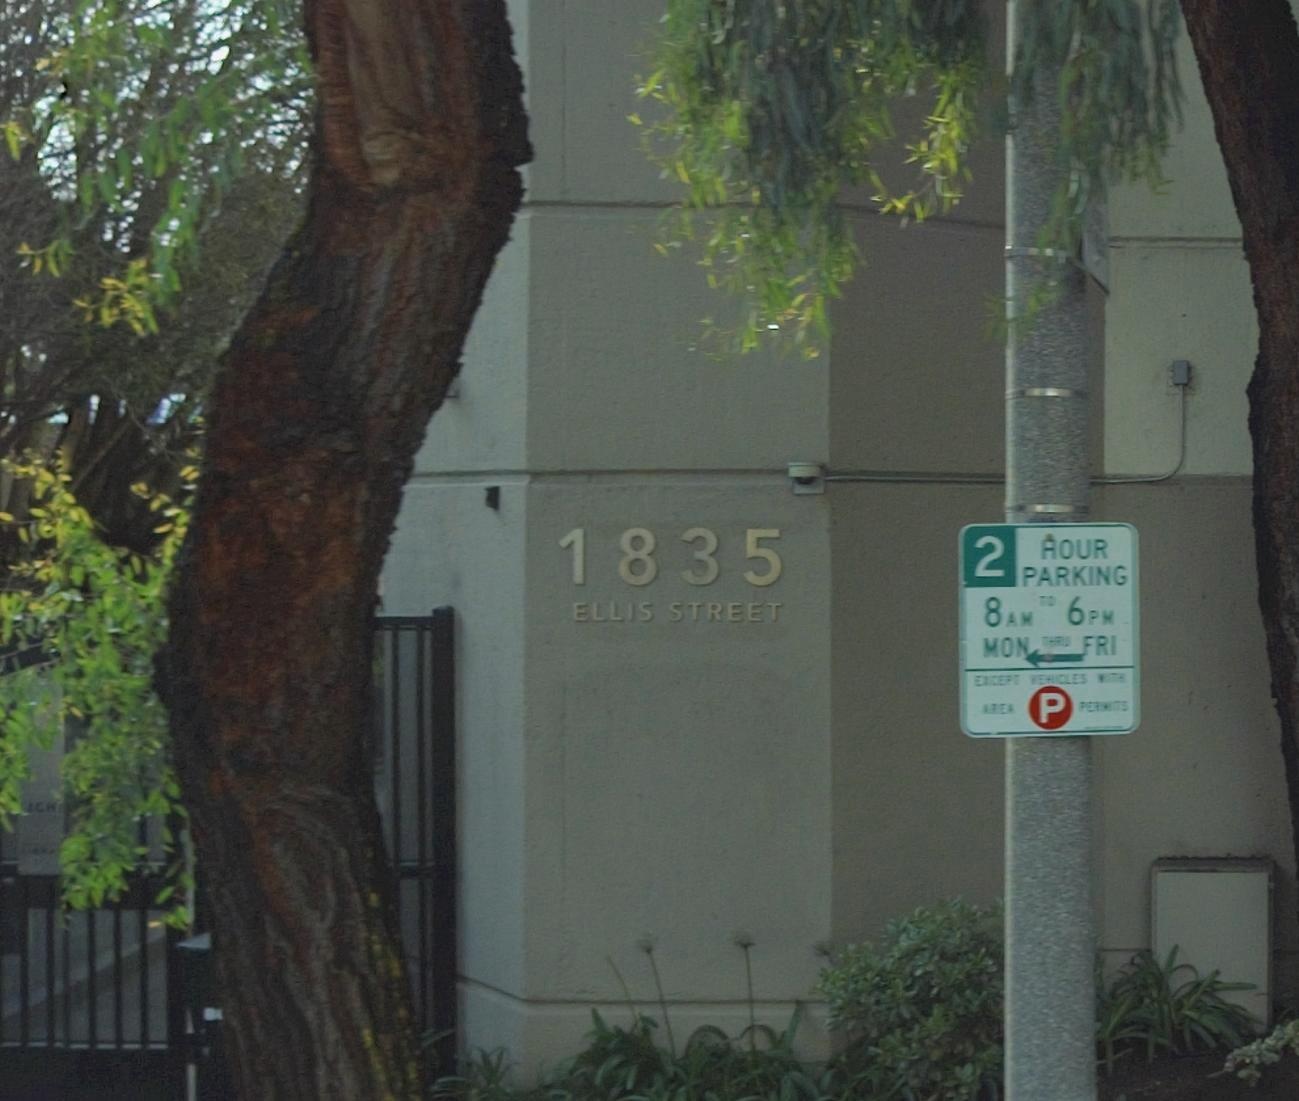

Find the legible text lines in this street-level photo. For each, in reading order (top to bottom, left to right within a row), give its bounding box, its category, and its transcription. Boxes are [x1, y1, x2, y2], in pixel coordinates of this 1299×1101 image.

[555, 525, 786, 589] StreetNumber: 1835
[971, 531, 1008, 580] None: 2
[1038, 536, 1113, 562] None: HOUR
[1020, 562, 1132, 591] None: PARKING
[570, 599, 786, 624] StreetName: ELLIS STREET
[981, 592, 1120, 634] None: 8 AM ** 6 PM
[979, 631, 1120, 663] None: MON **** FRI
[1037, 690, 1069, 726] None: P